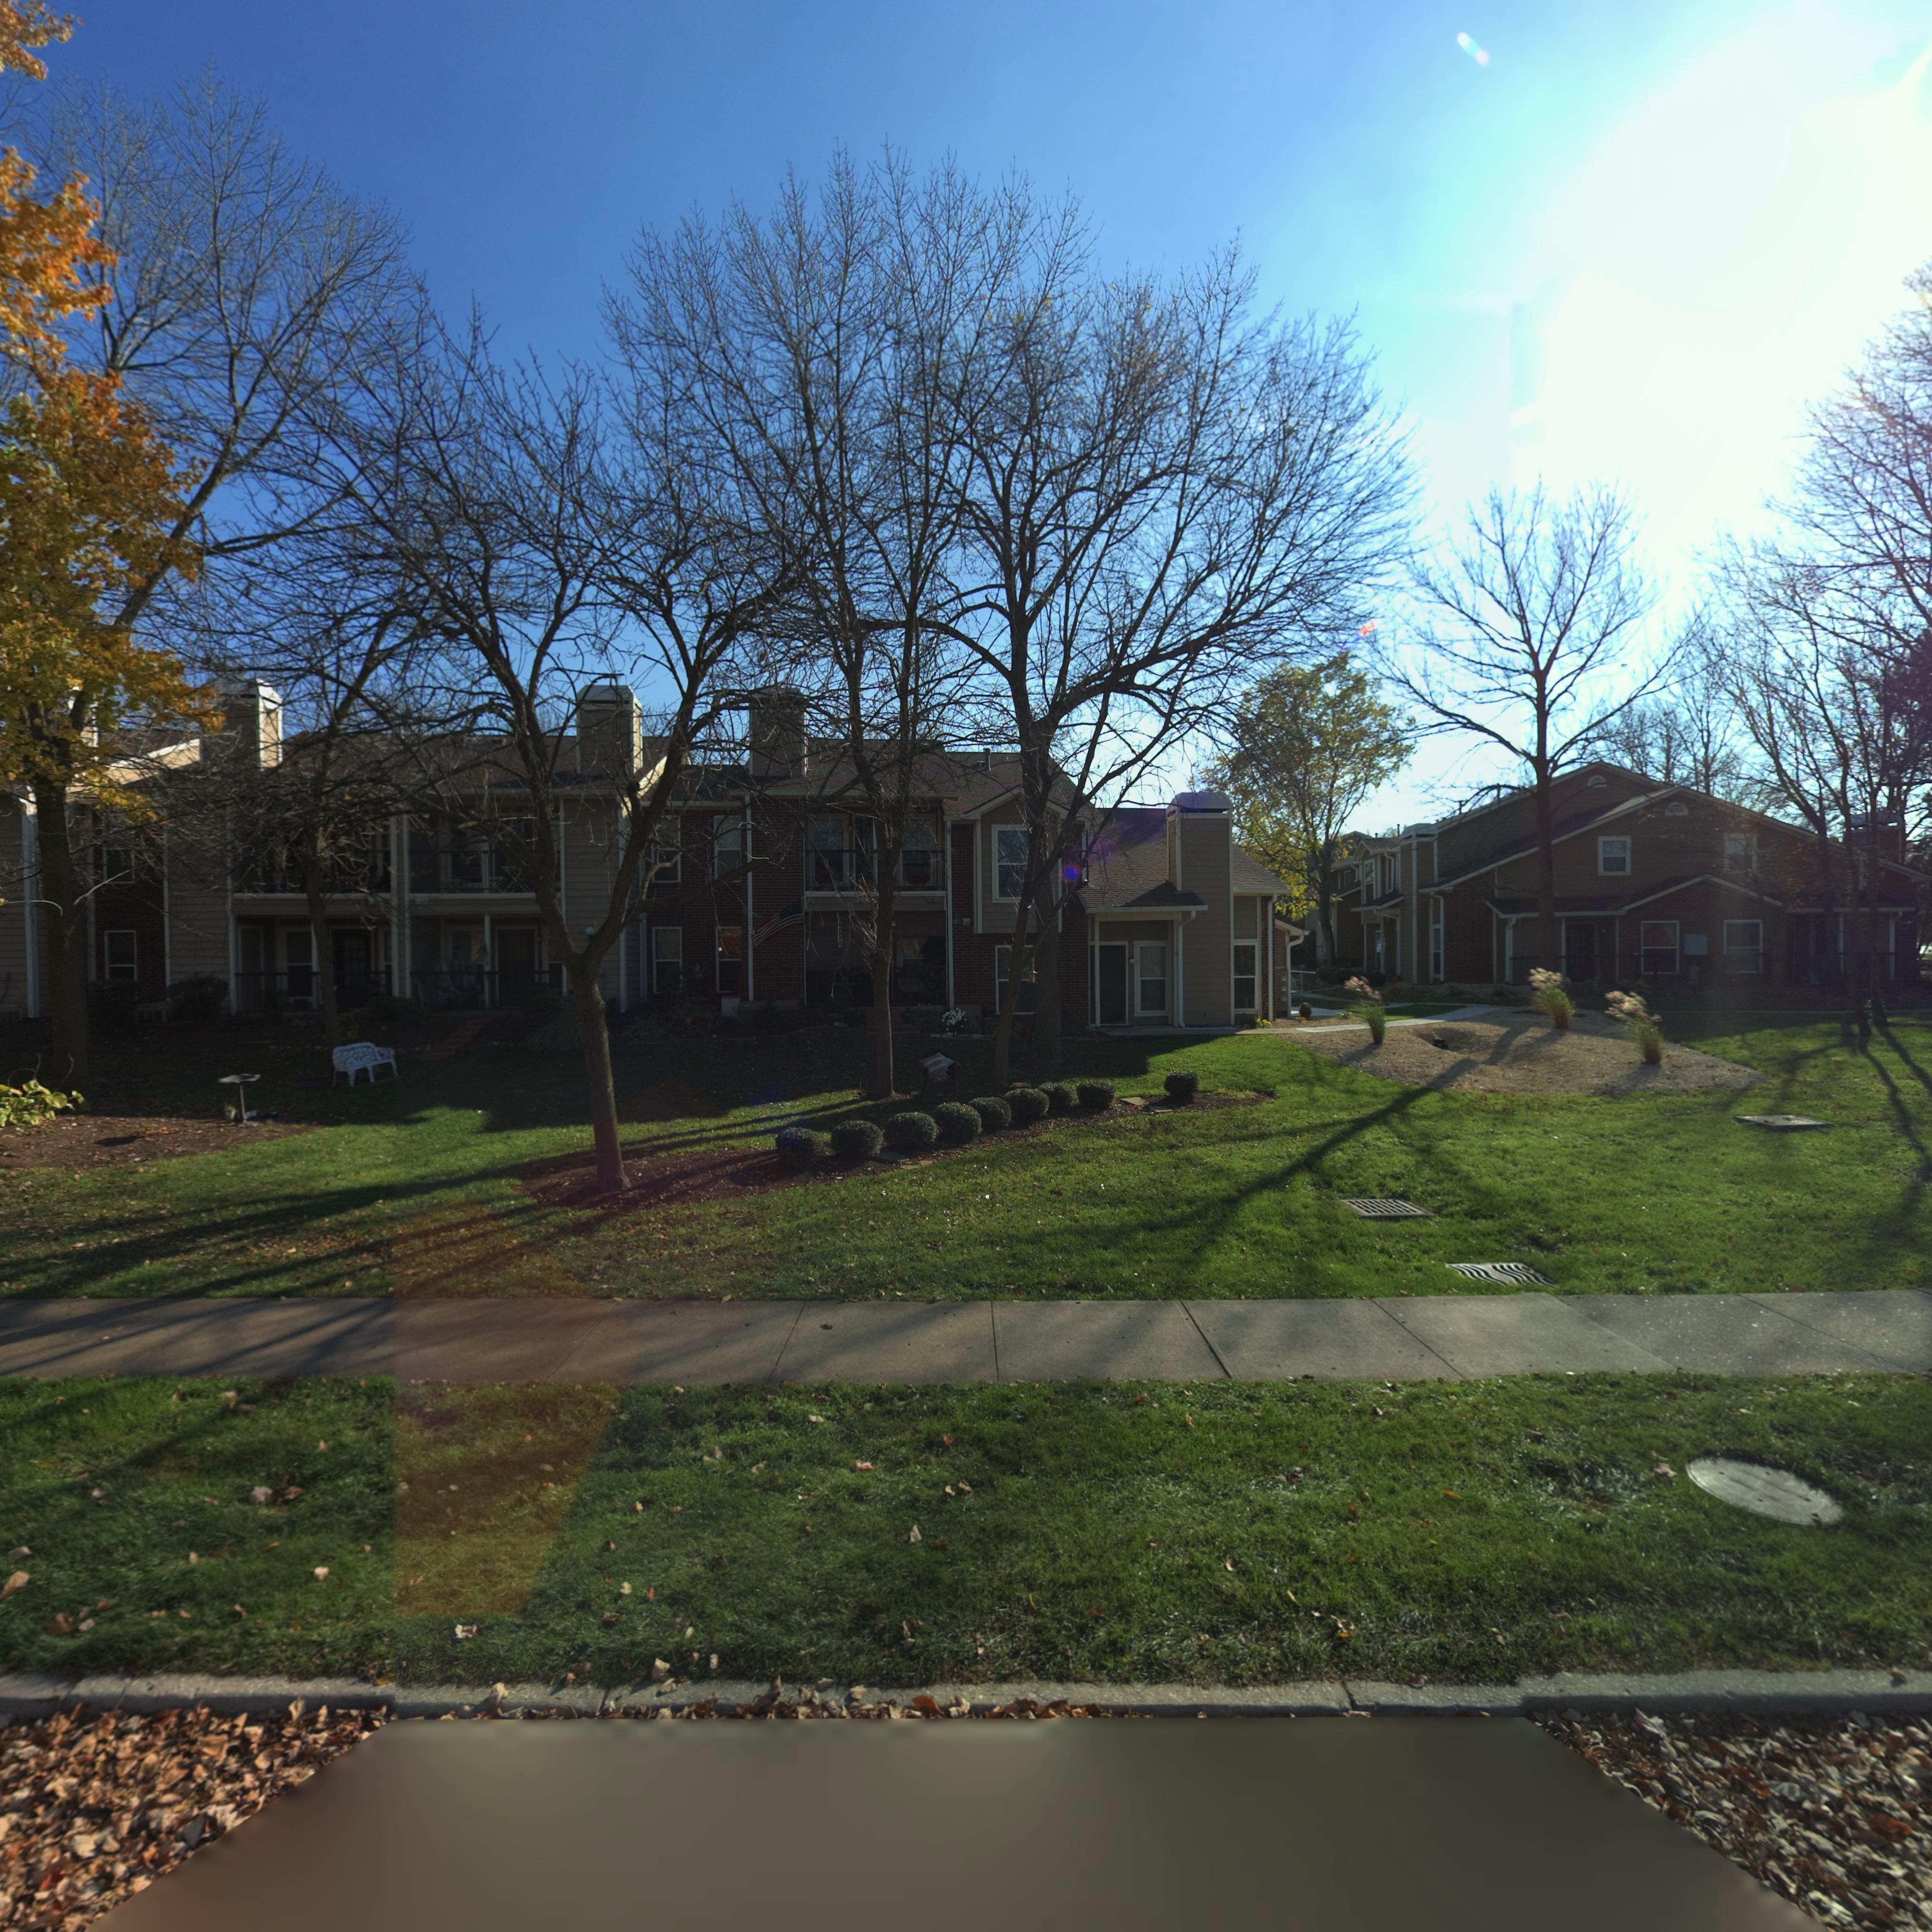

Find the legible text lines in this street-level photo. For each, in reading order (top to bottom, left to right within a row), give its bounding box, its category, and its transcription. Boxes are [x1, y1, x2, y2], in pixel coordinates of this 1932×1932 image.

[1103, 931, 1112, 936] StreetNumber: 7*5